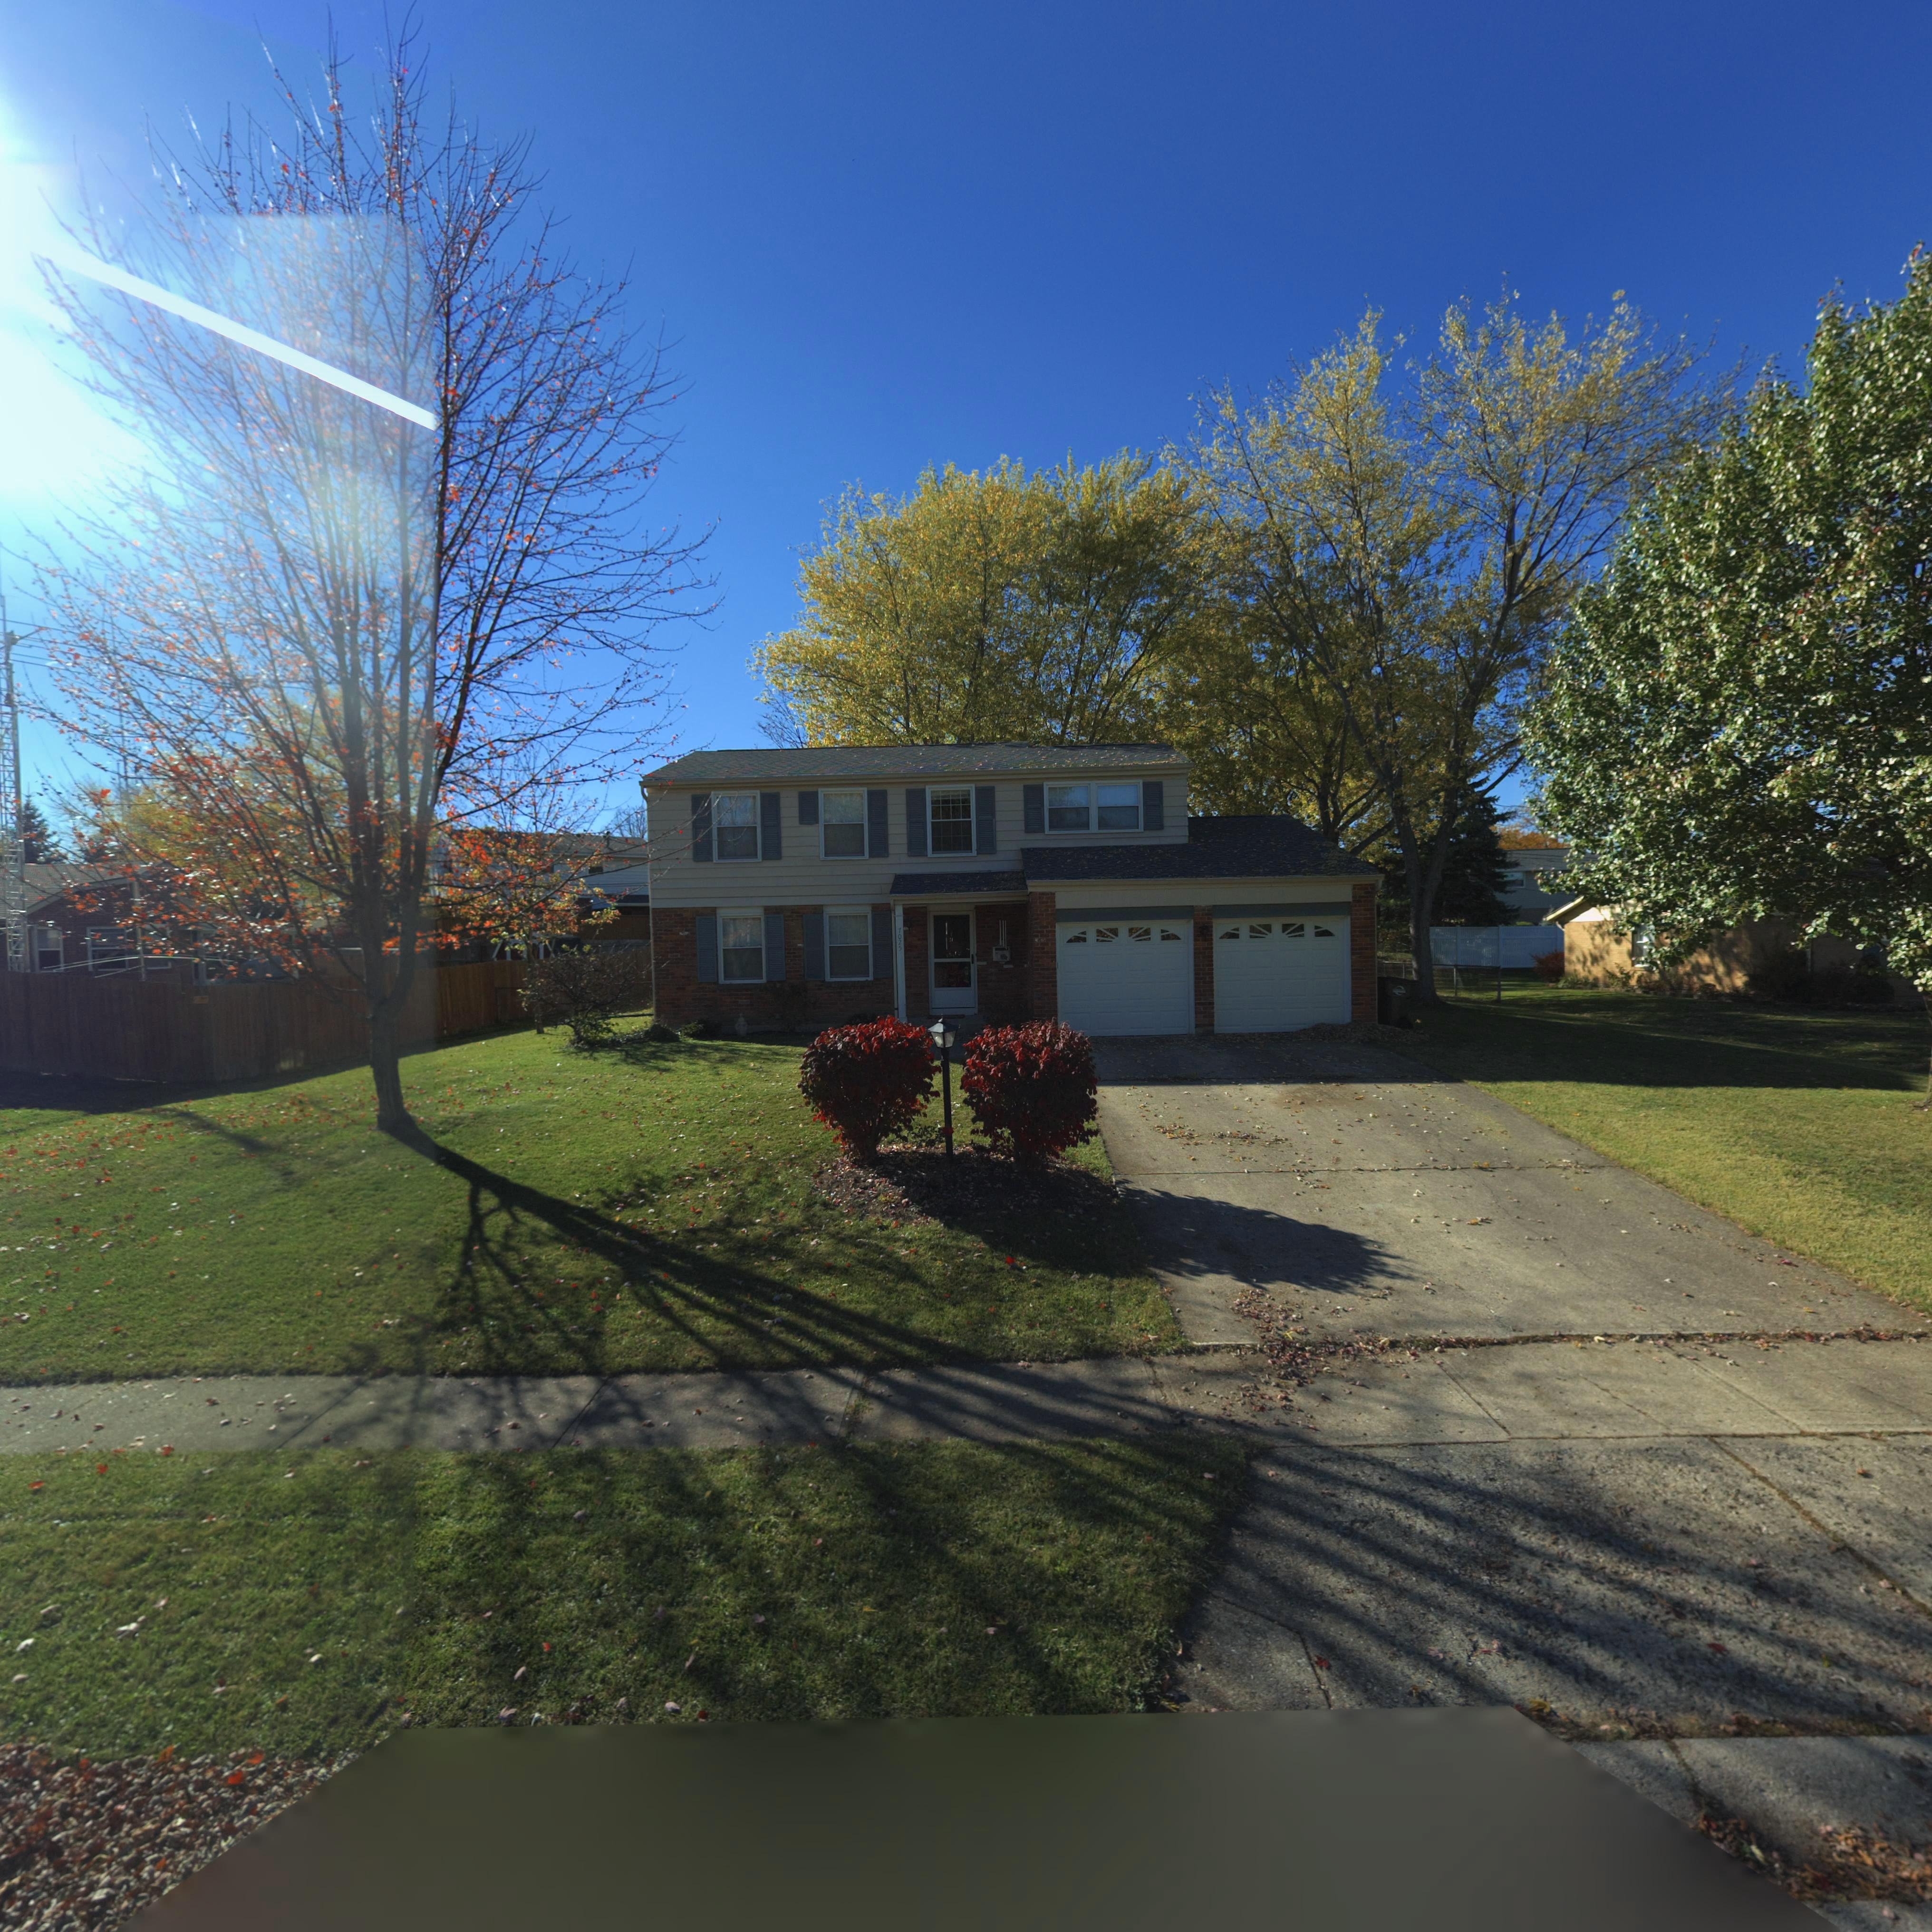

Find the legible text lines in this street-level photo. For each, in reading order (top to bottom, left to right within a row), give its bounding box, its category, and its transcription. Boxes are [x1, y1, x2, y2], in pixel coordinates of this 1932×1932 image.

[897, 926, 903, 953] StreetNumber: 7025